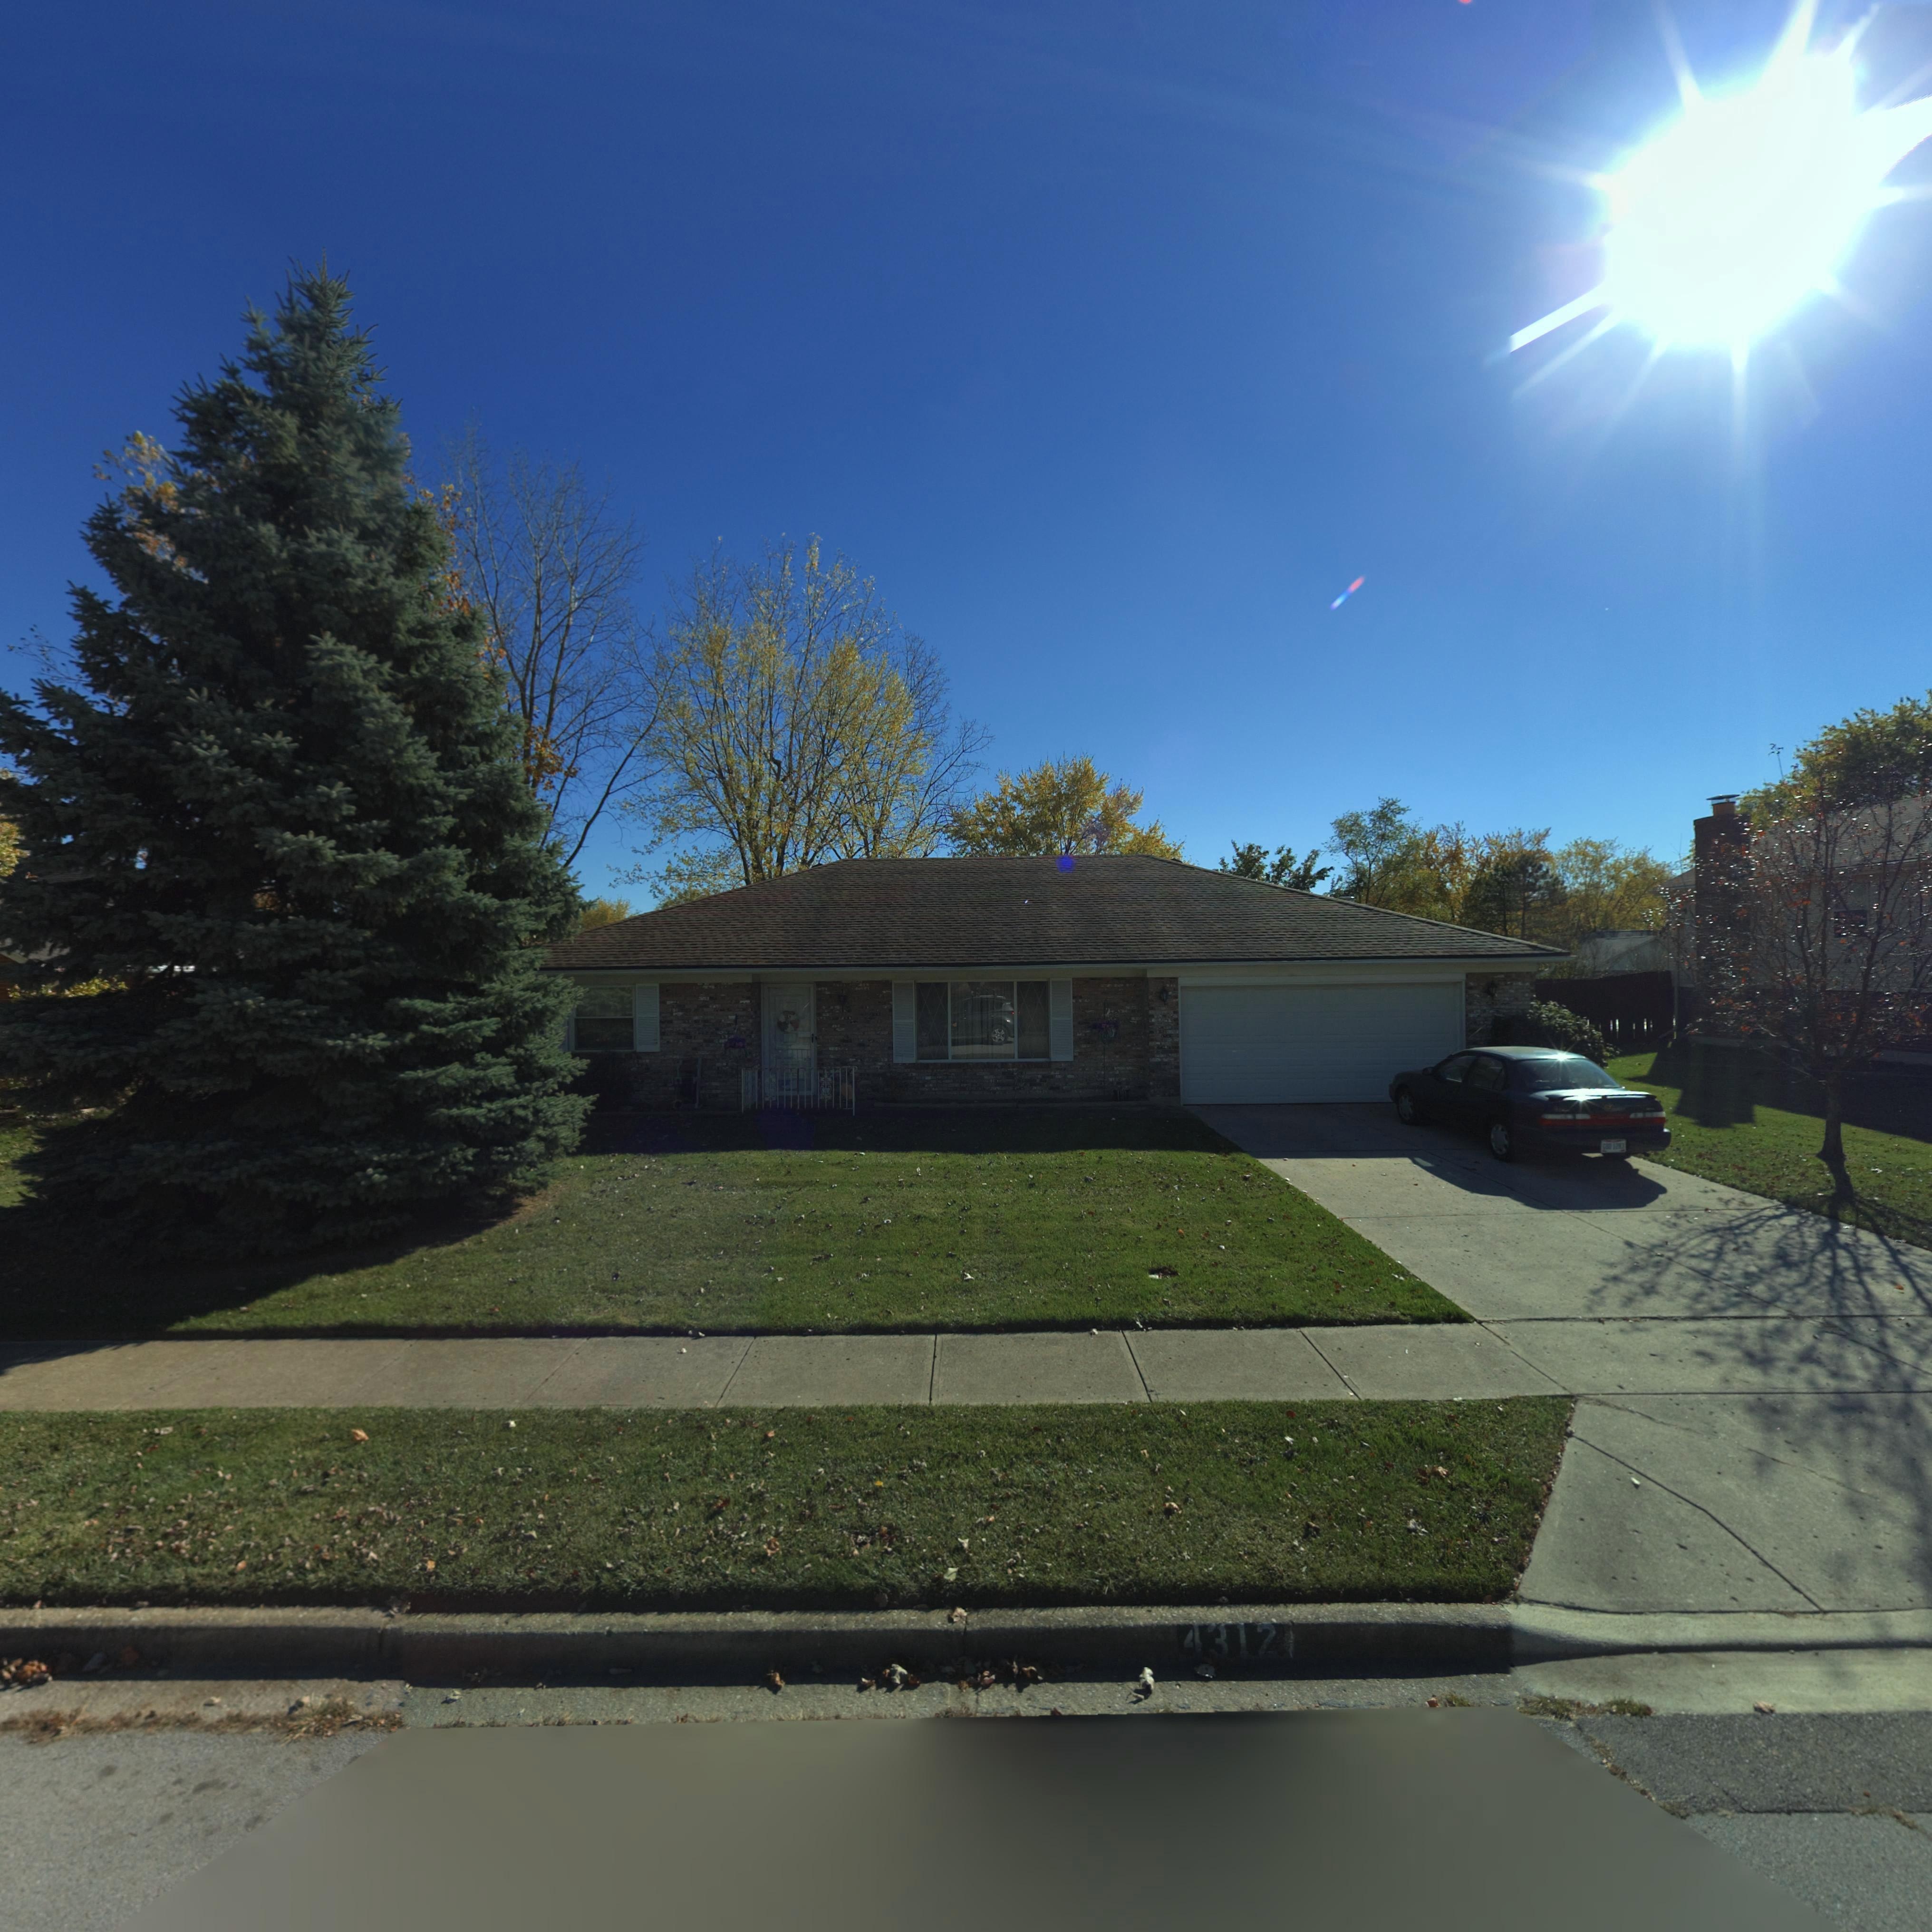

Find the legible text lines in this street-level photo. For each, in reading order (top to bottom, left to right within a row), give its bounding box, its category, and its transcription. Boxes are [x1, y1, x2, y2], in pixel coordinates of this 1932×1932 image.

[1182, 1622, 1280, 1660] StreetNumber: 4312